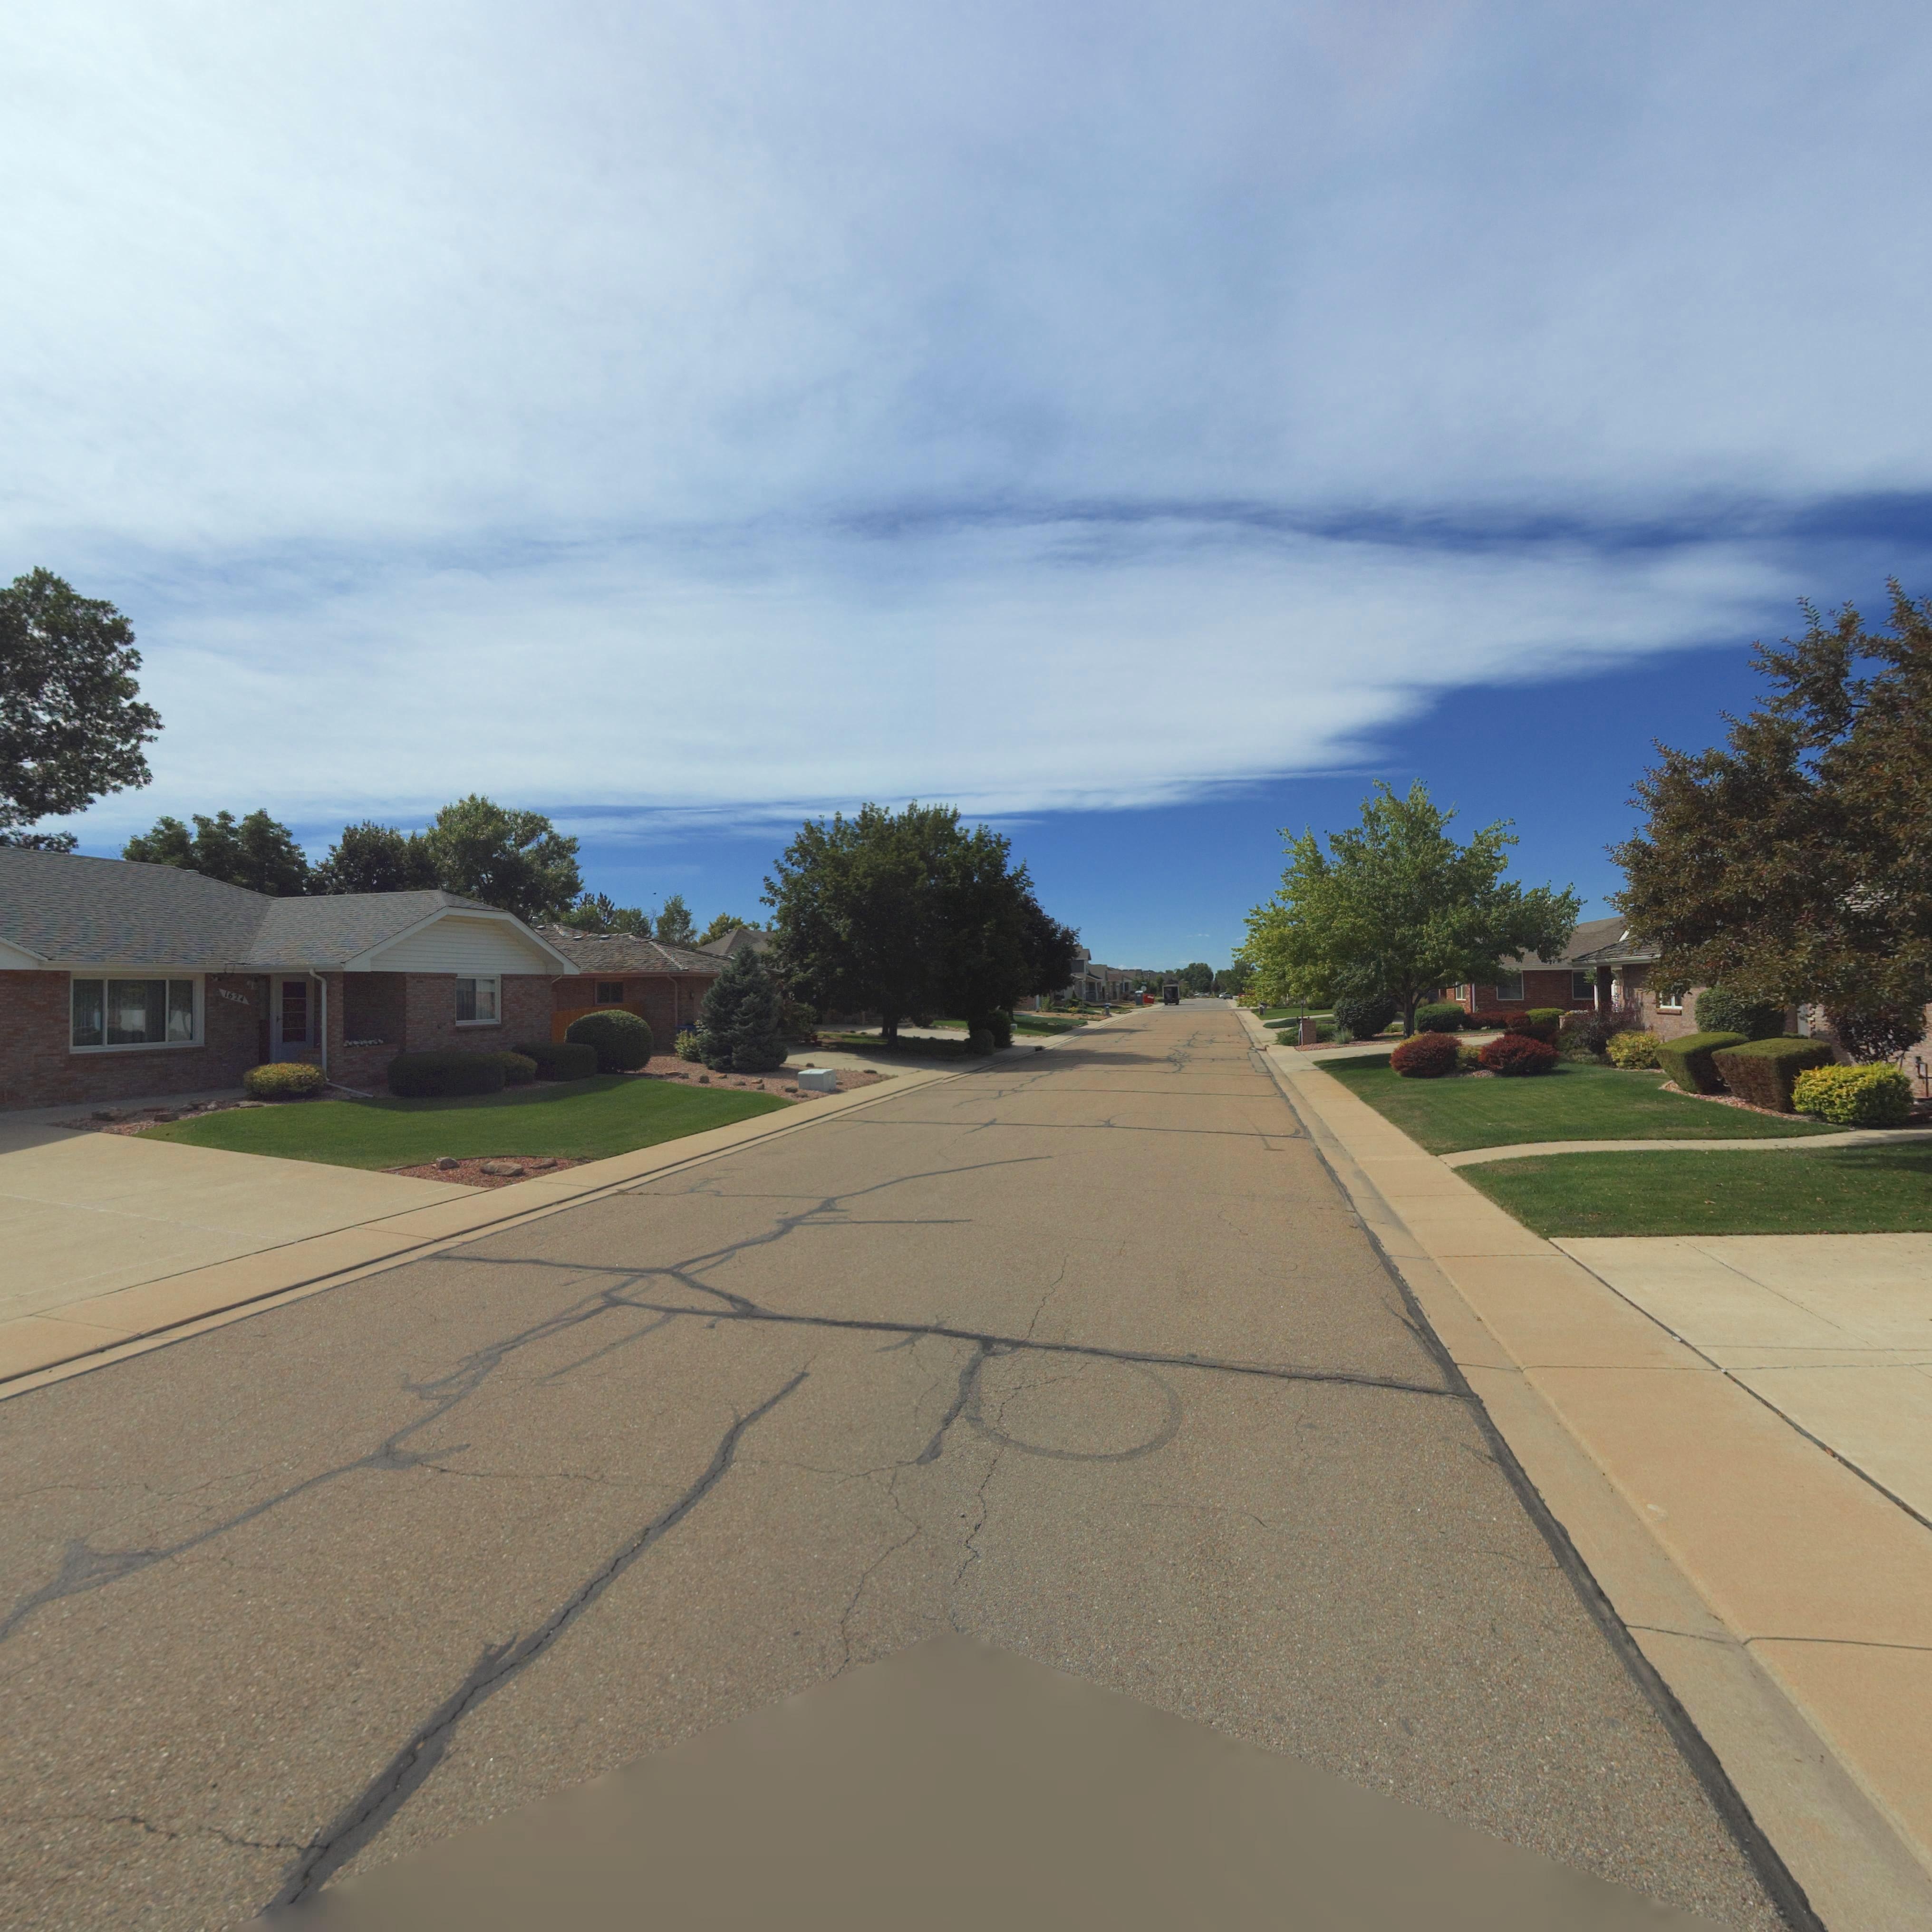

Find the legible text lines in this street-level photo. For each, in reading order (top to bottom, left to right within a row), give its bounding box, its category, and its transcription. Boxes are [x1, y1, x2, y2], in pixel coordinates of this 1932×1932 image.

[224, 990, 244, 1003] StreetNumber: 1624